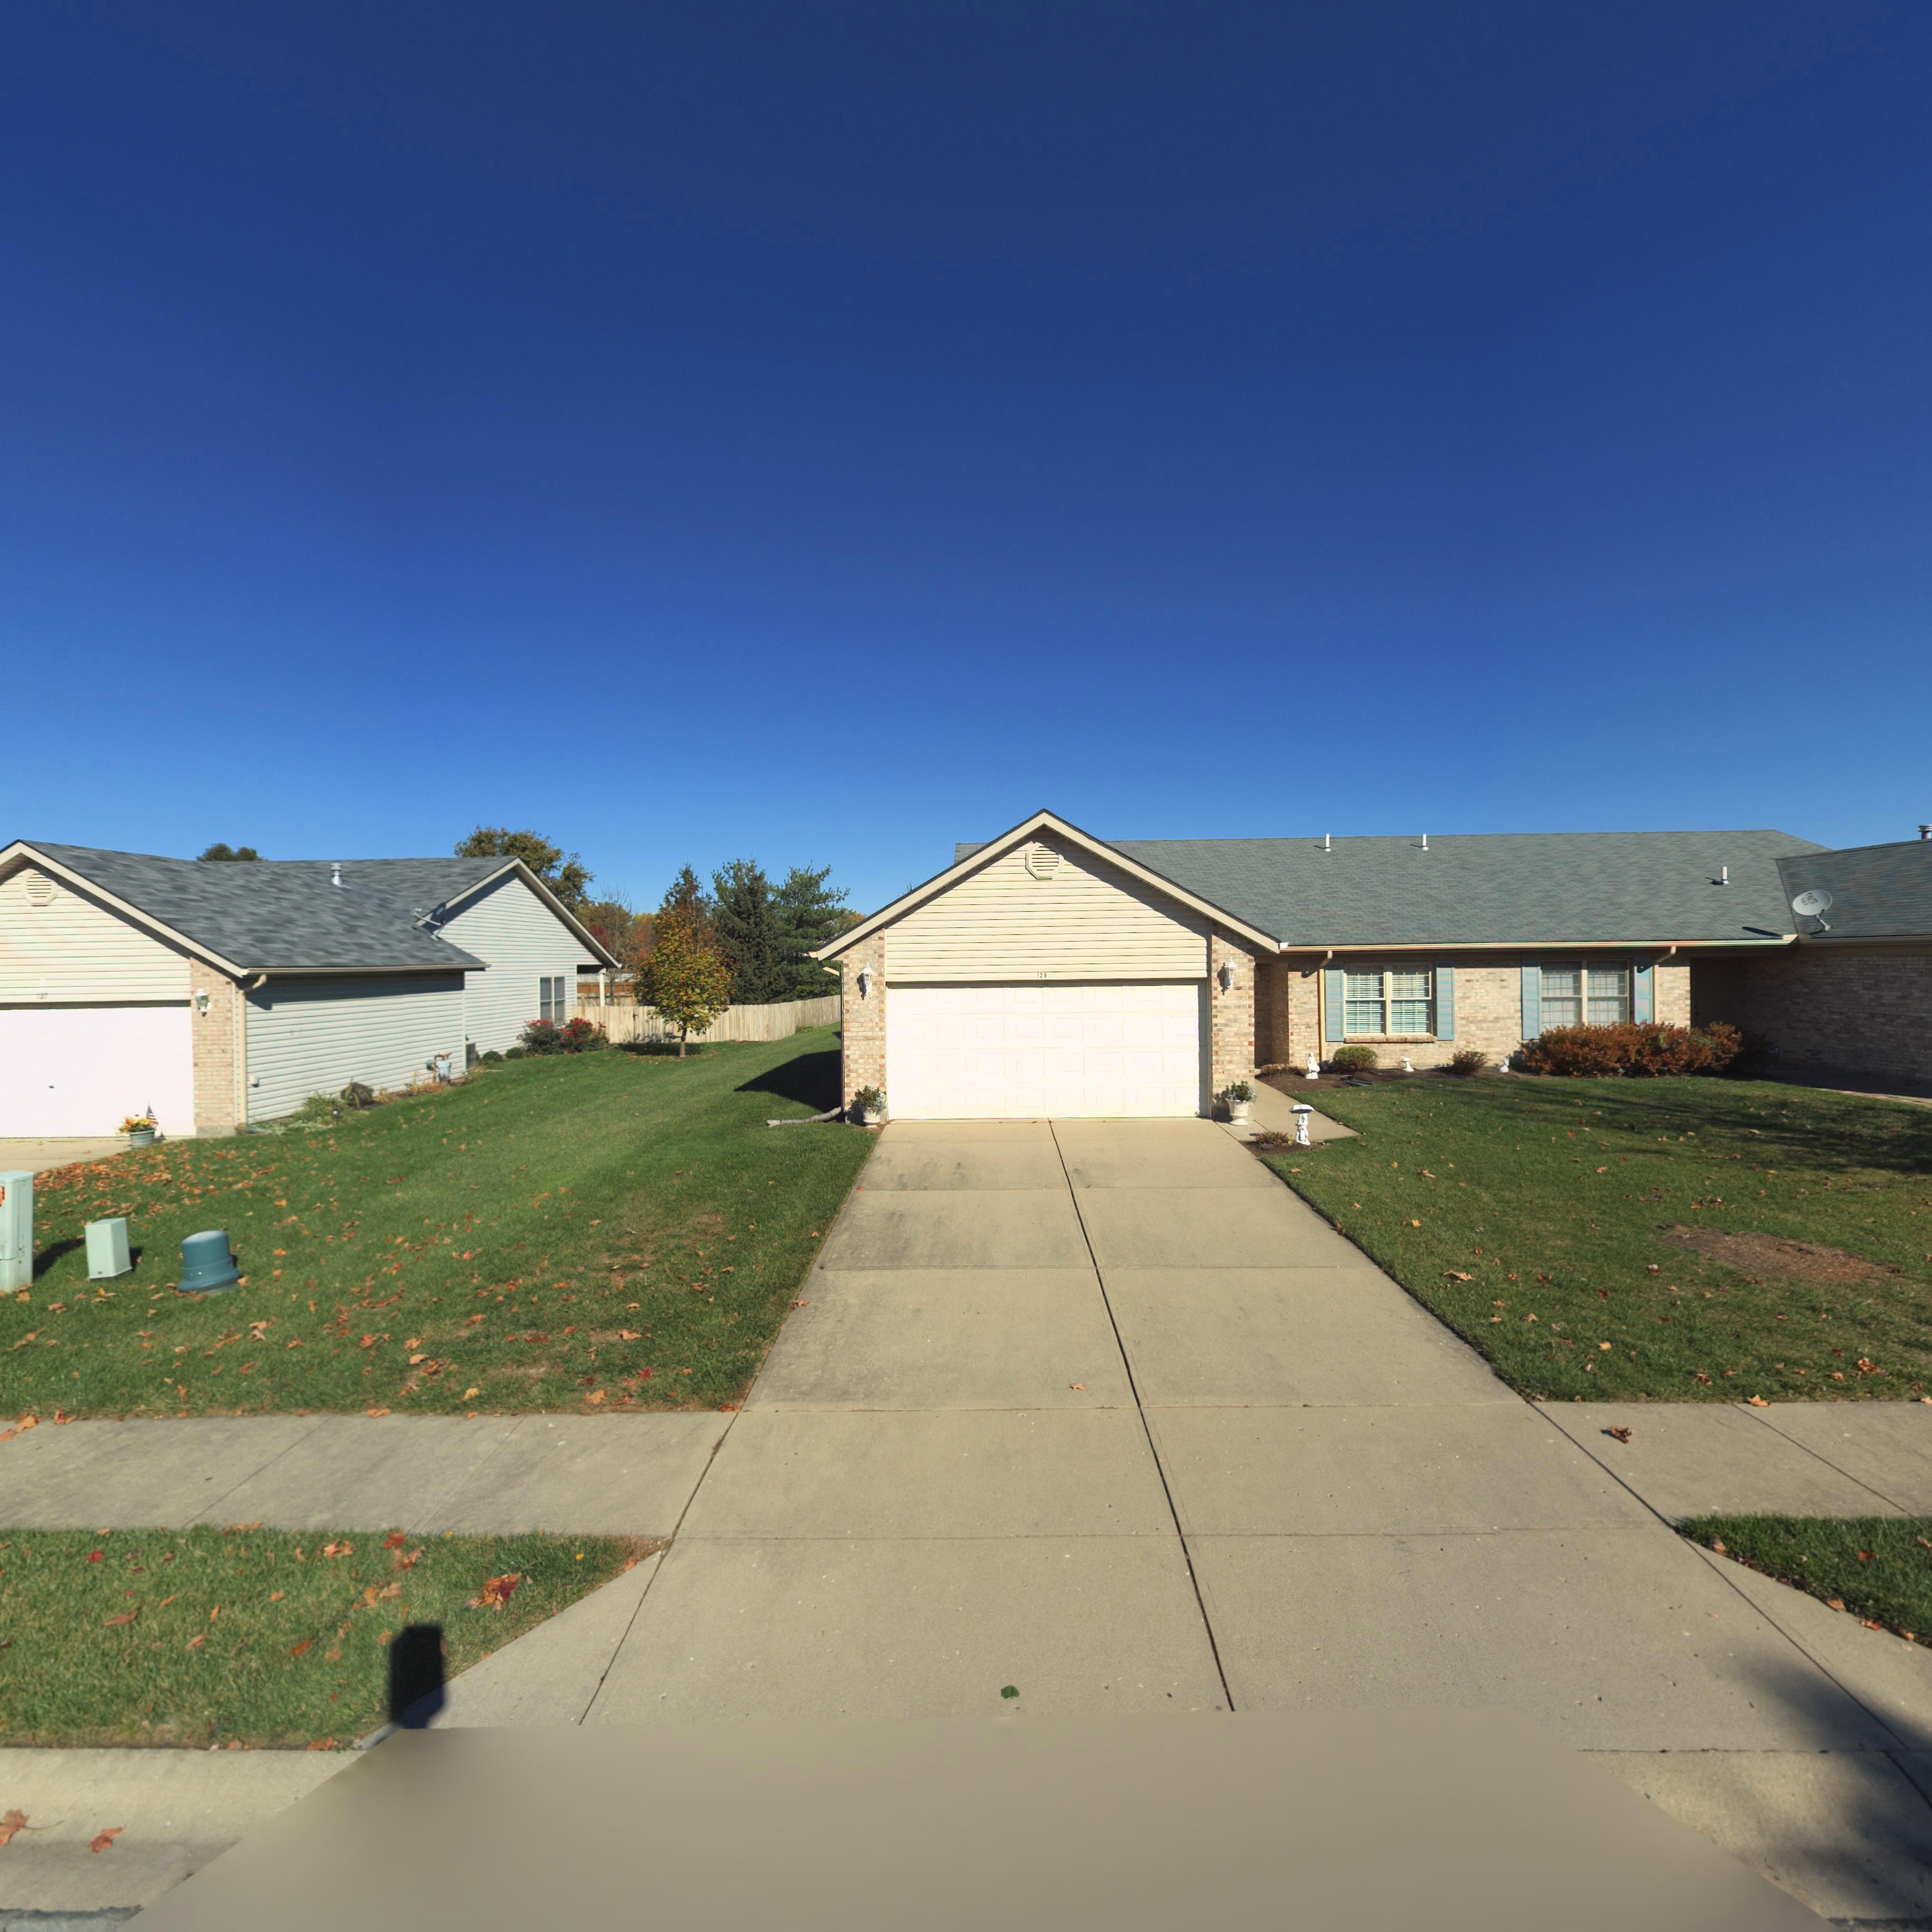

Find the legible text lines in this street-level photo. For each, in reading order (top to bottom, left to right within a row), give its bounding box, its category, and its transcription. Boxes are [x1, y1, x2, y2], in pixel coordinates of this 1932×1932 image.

[1037, 972, 1047, 978] StreetNumber: 129
[36, 993, 48, 1000] StreetNumber: 127